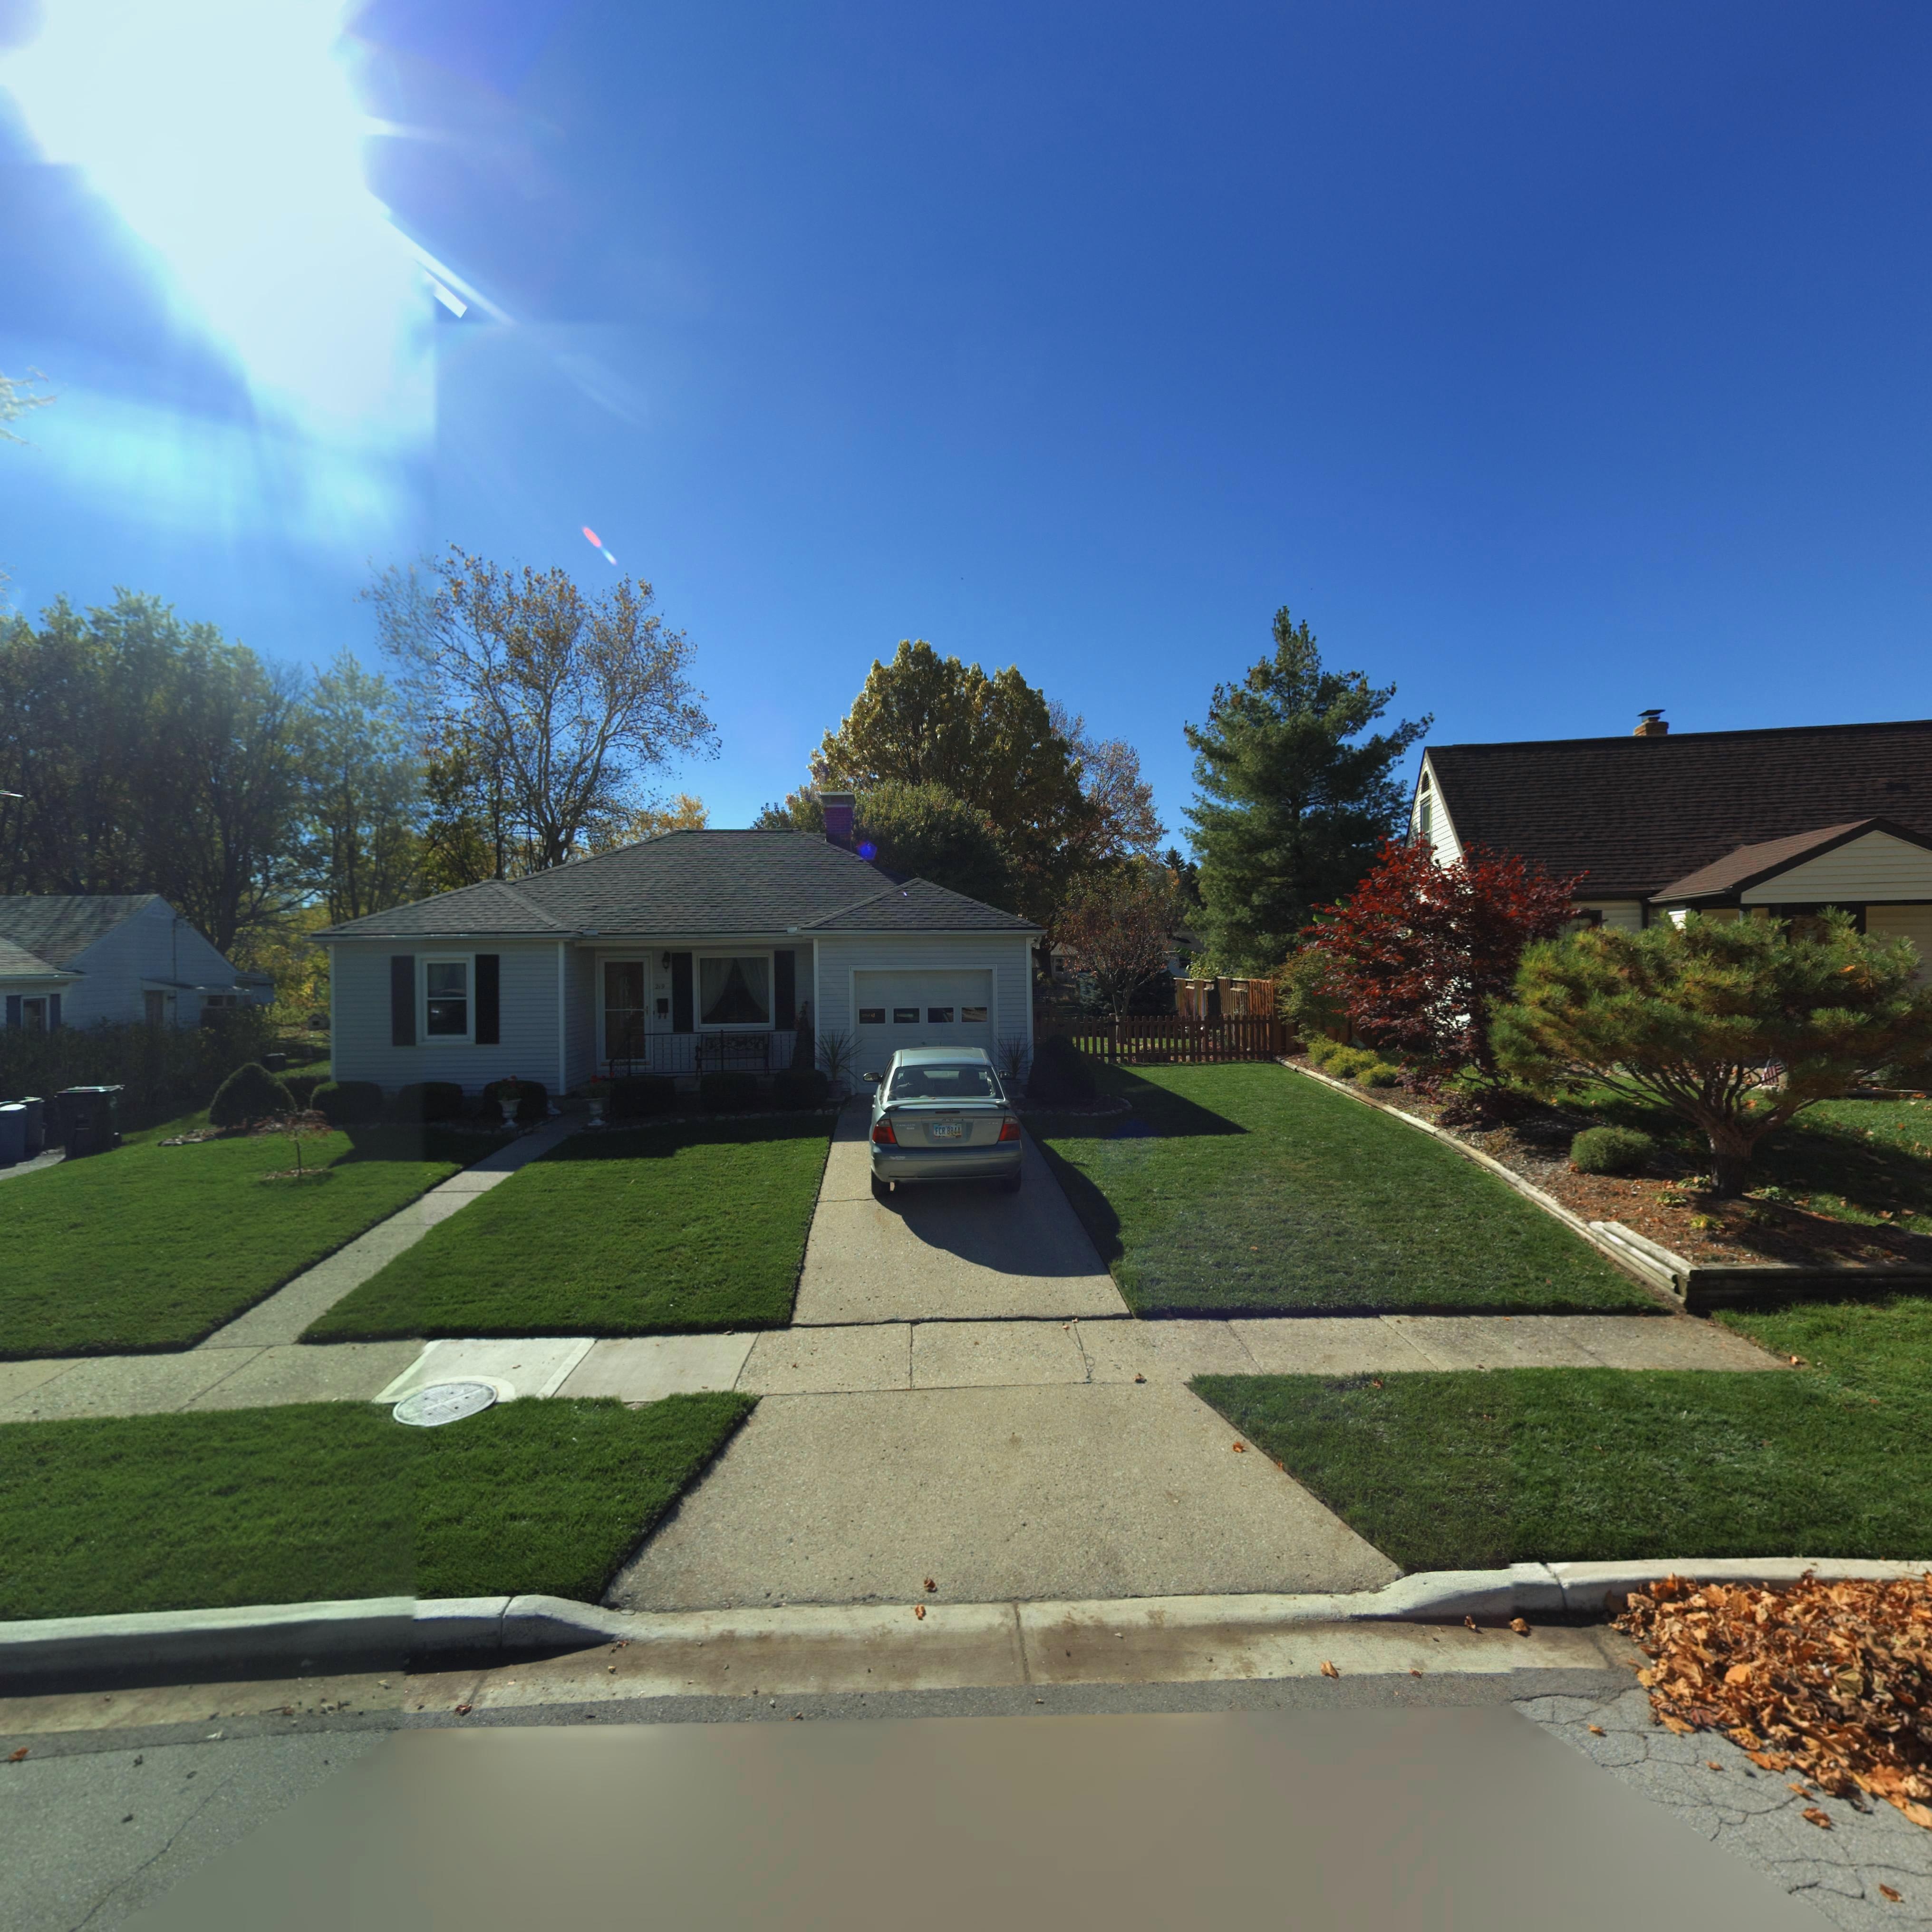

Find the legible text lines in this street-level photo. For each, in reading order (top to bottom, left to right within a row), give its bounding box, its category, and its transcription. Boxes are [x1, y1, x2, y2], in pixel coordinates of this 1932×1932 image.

[654, 983, 666, 990] StreetNumber: 2*9